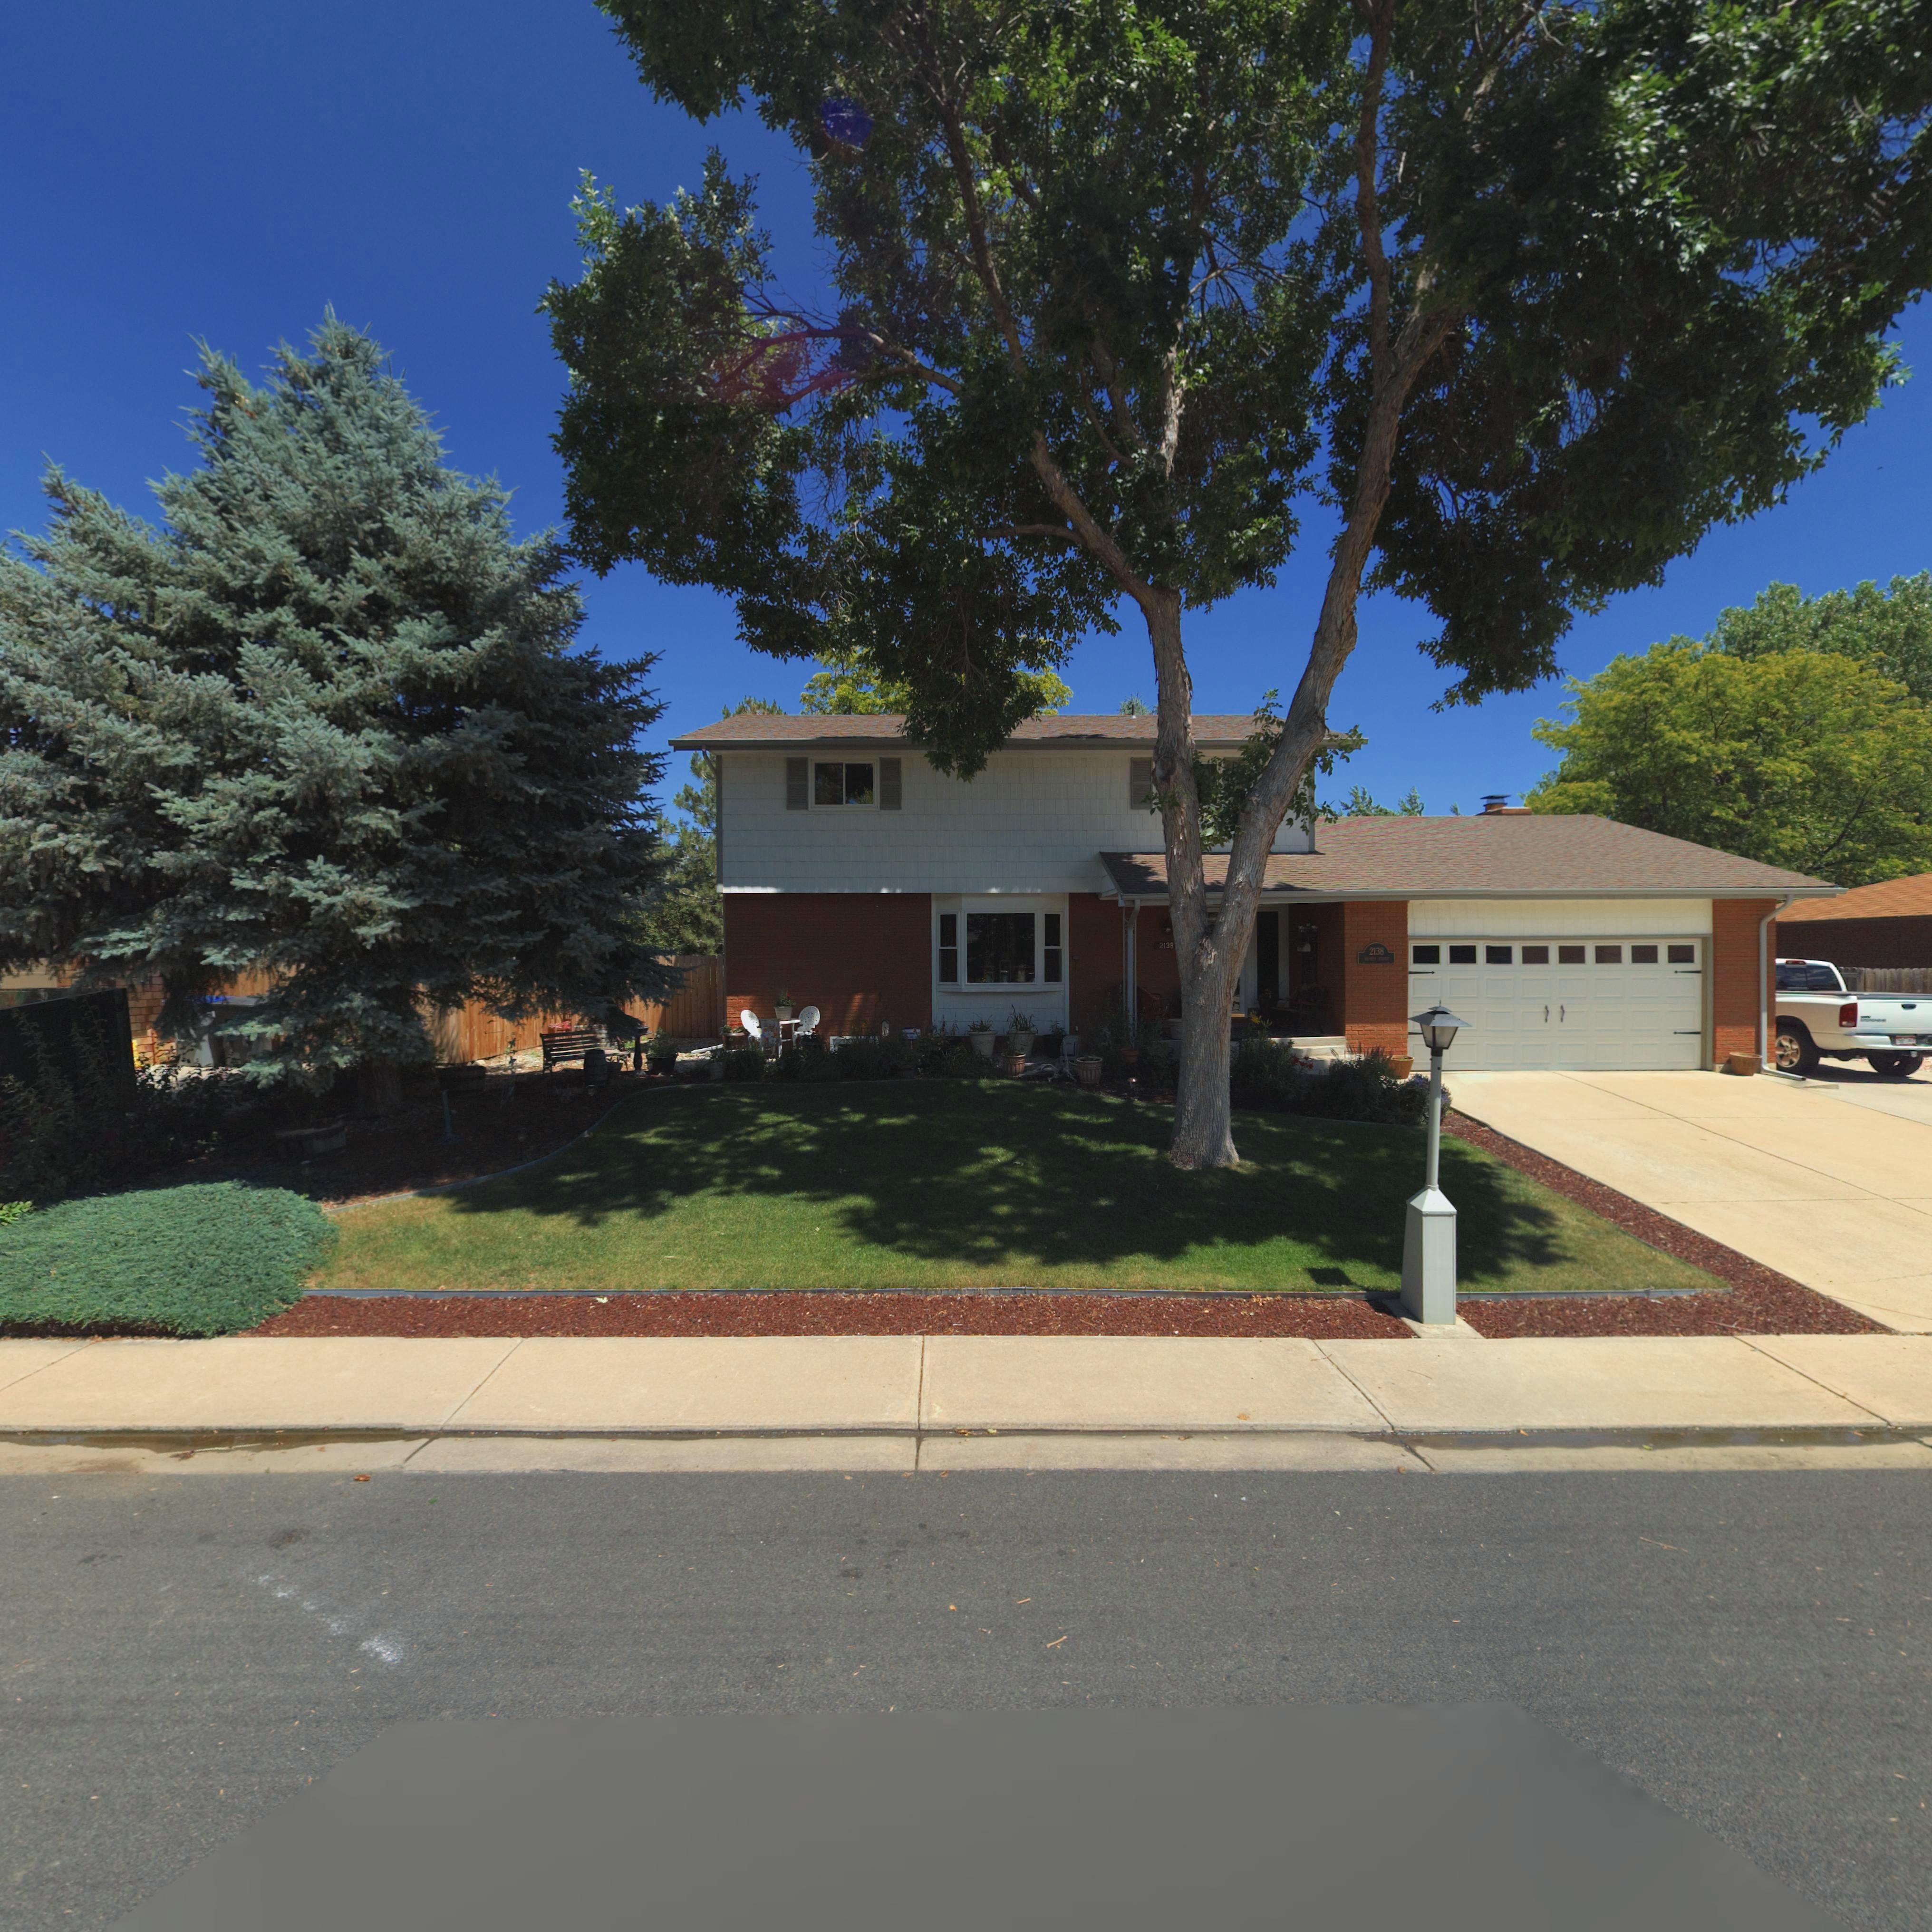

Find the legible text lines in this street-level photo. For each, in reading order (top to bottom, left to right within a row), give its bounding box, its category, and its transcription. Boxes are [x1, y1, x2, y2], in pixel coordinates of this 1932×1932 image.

[1159, 941, 1174, 949] StreetNumber: 2138
[1369, 947, 1384, 956] StreetNumber: 2138